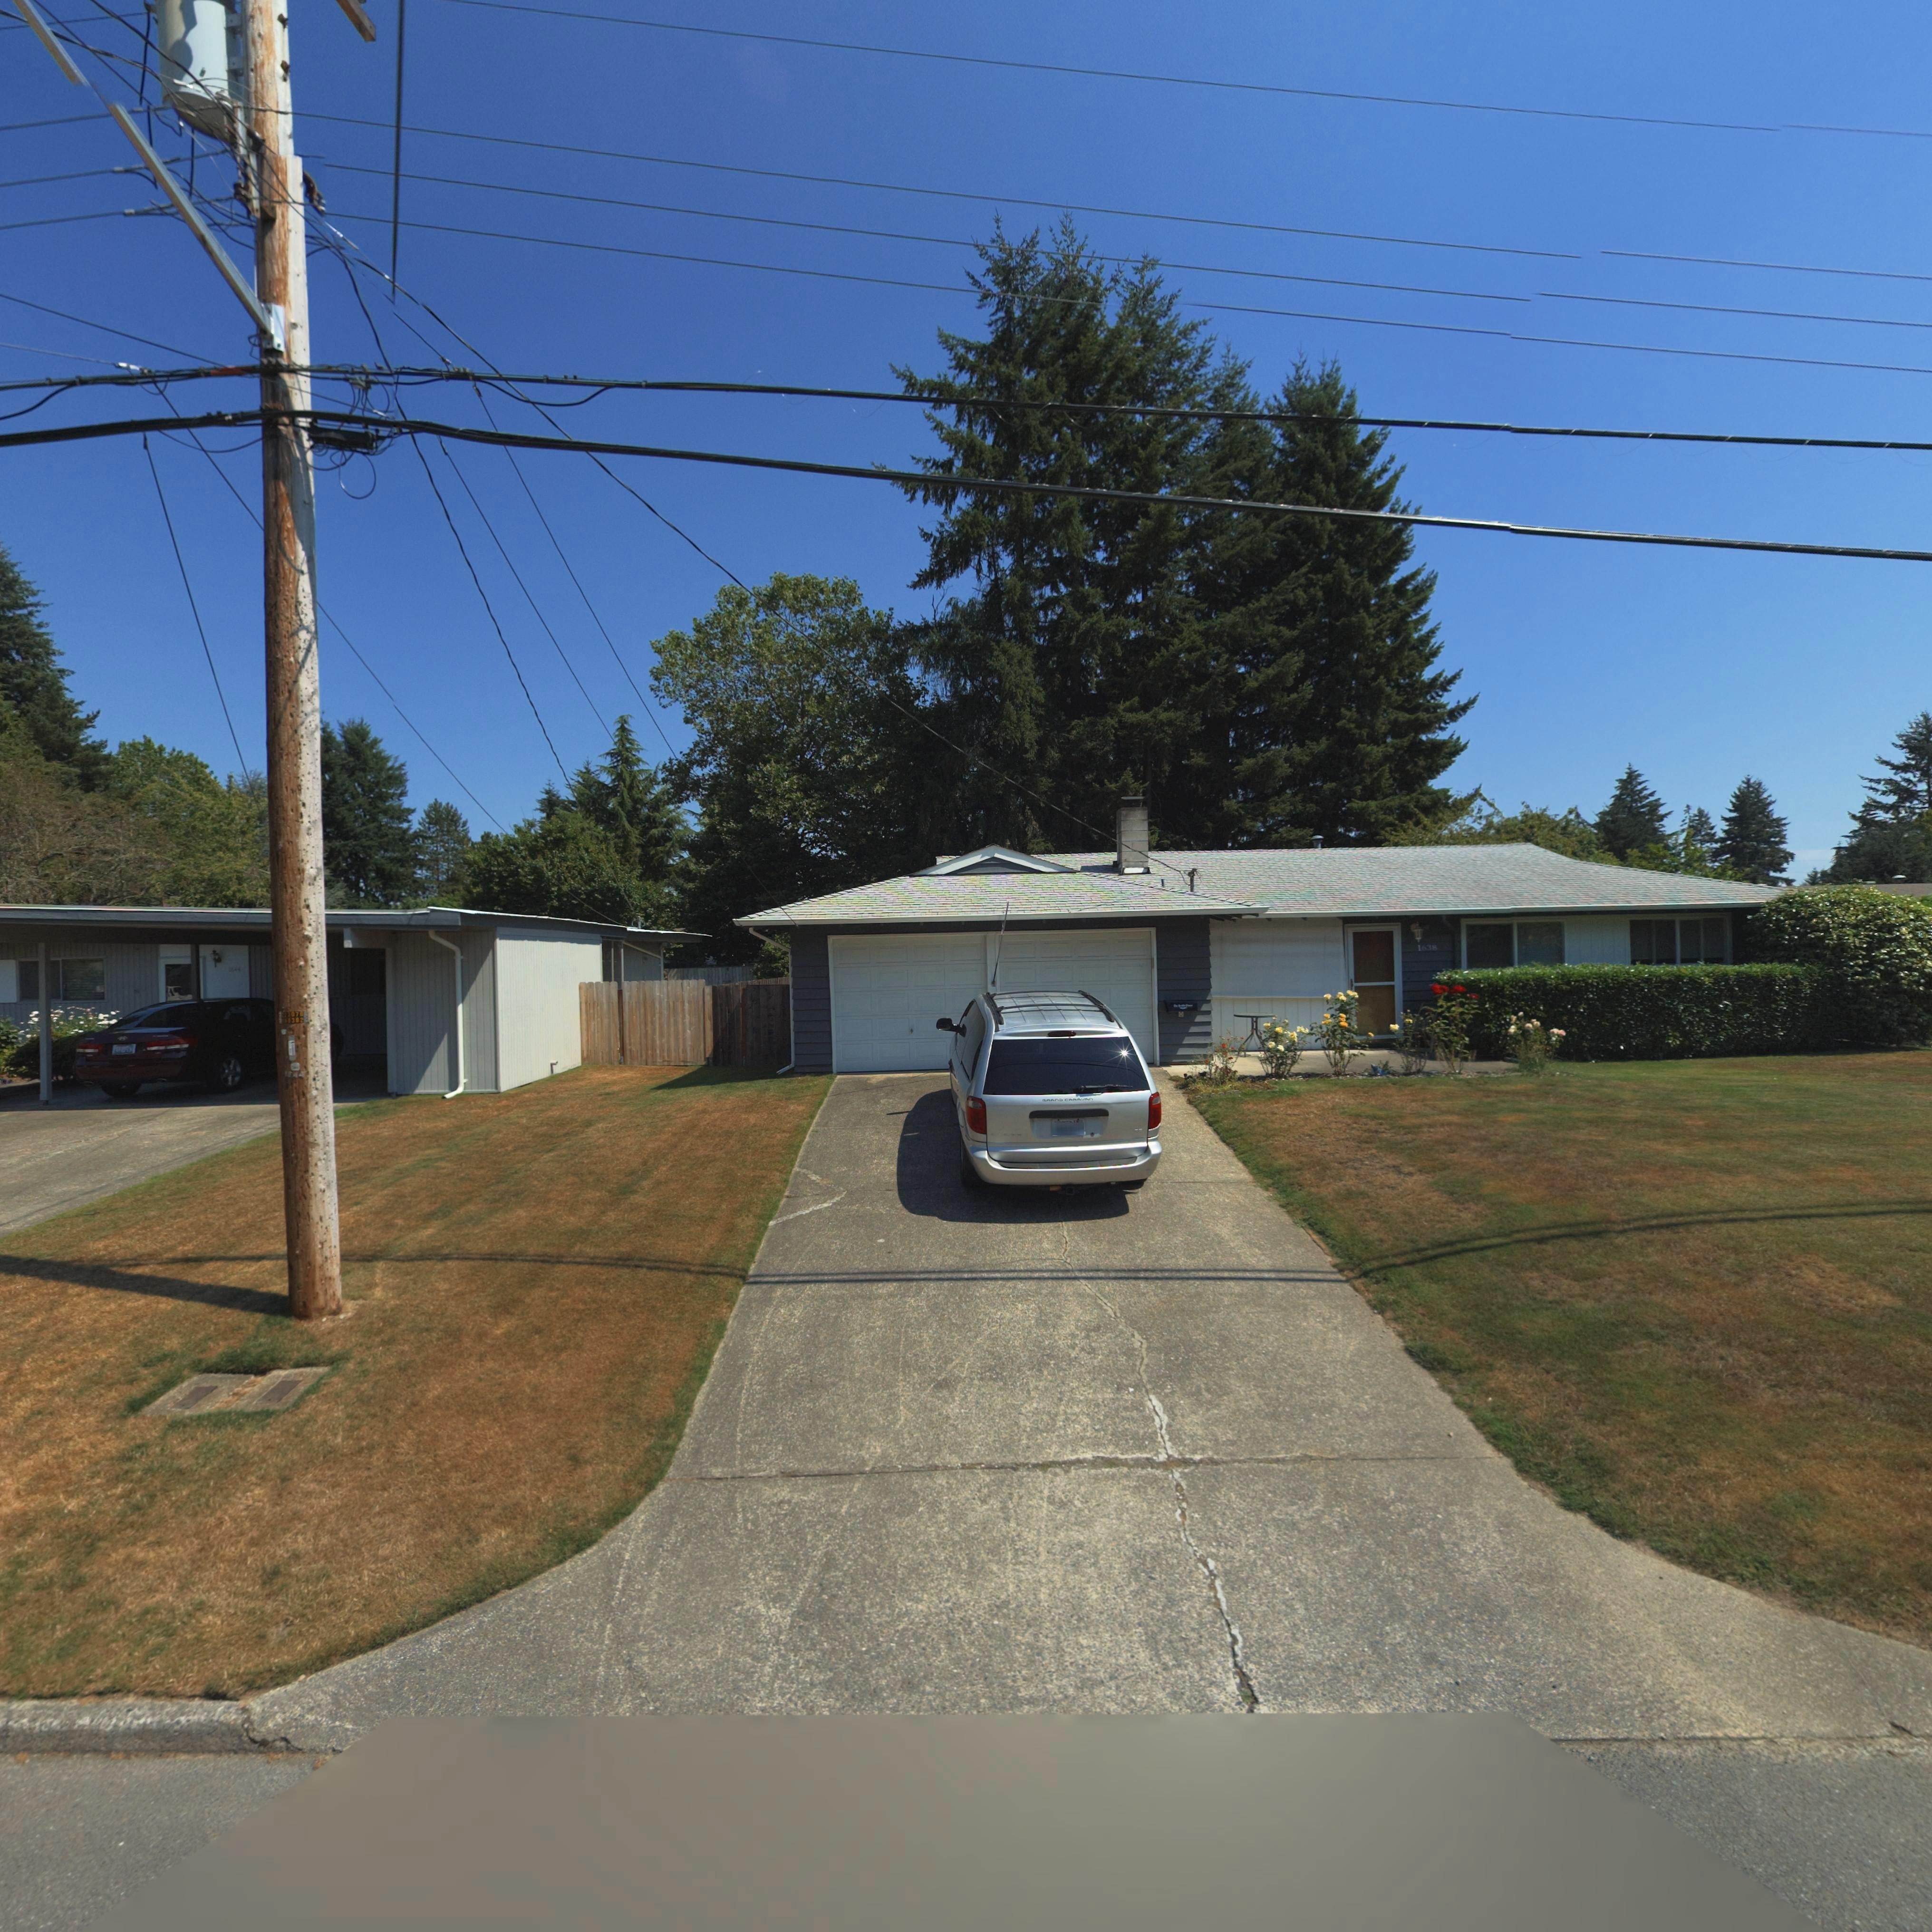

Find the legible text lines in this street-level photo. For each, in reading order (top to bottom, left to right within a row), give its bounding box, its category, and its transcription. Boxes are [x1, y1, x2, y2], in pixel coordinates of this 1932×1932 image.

[1417, 941, 1438, 952] StreetNumber: 1638